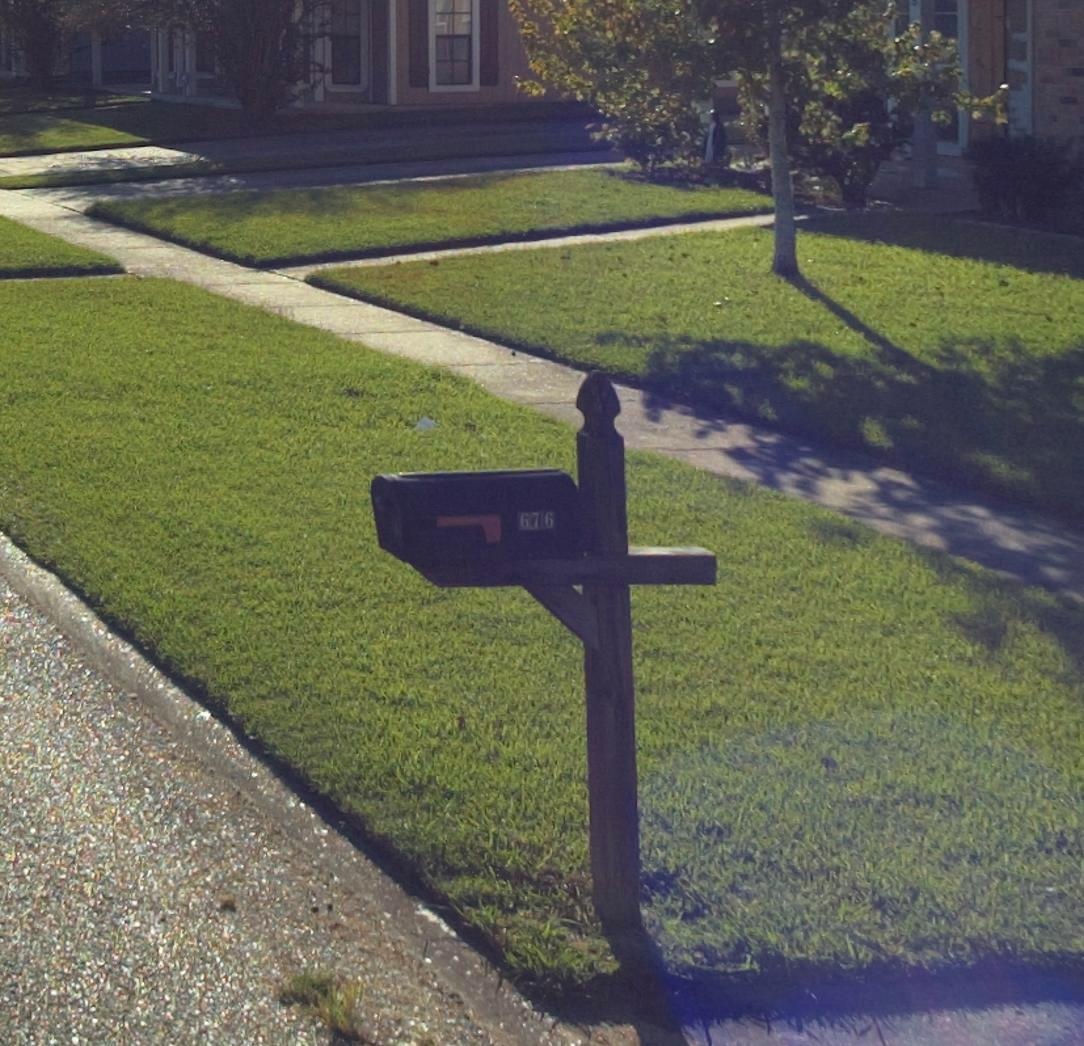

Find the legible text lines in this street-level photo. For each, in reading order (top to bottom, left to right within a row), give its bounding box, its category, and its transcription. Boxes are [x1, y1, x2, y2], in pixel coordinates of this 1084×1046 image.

[519, 511, 555, 529] StreetNumber: 676